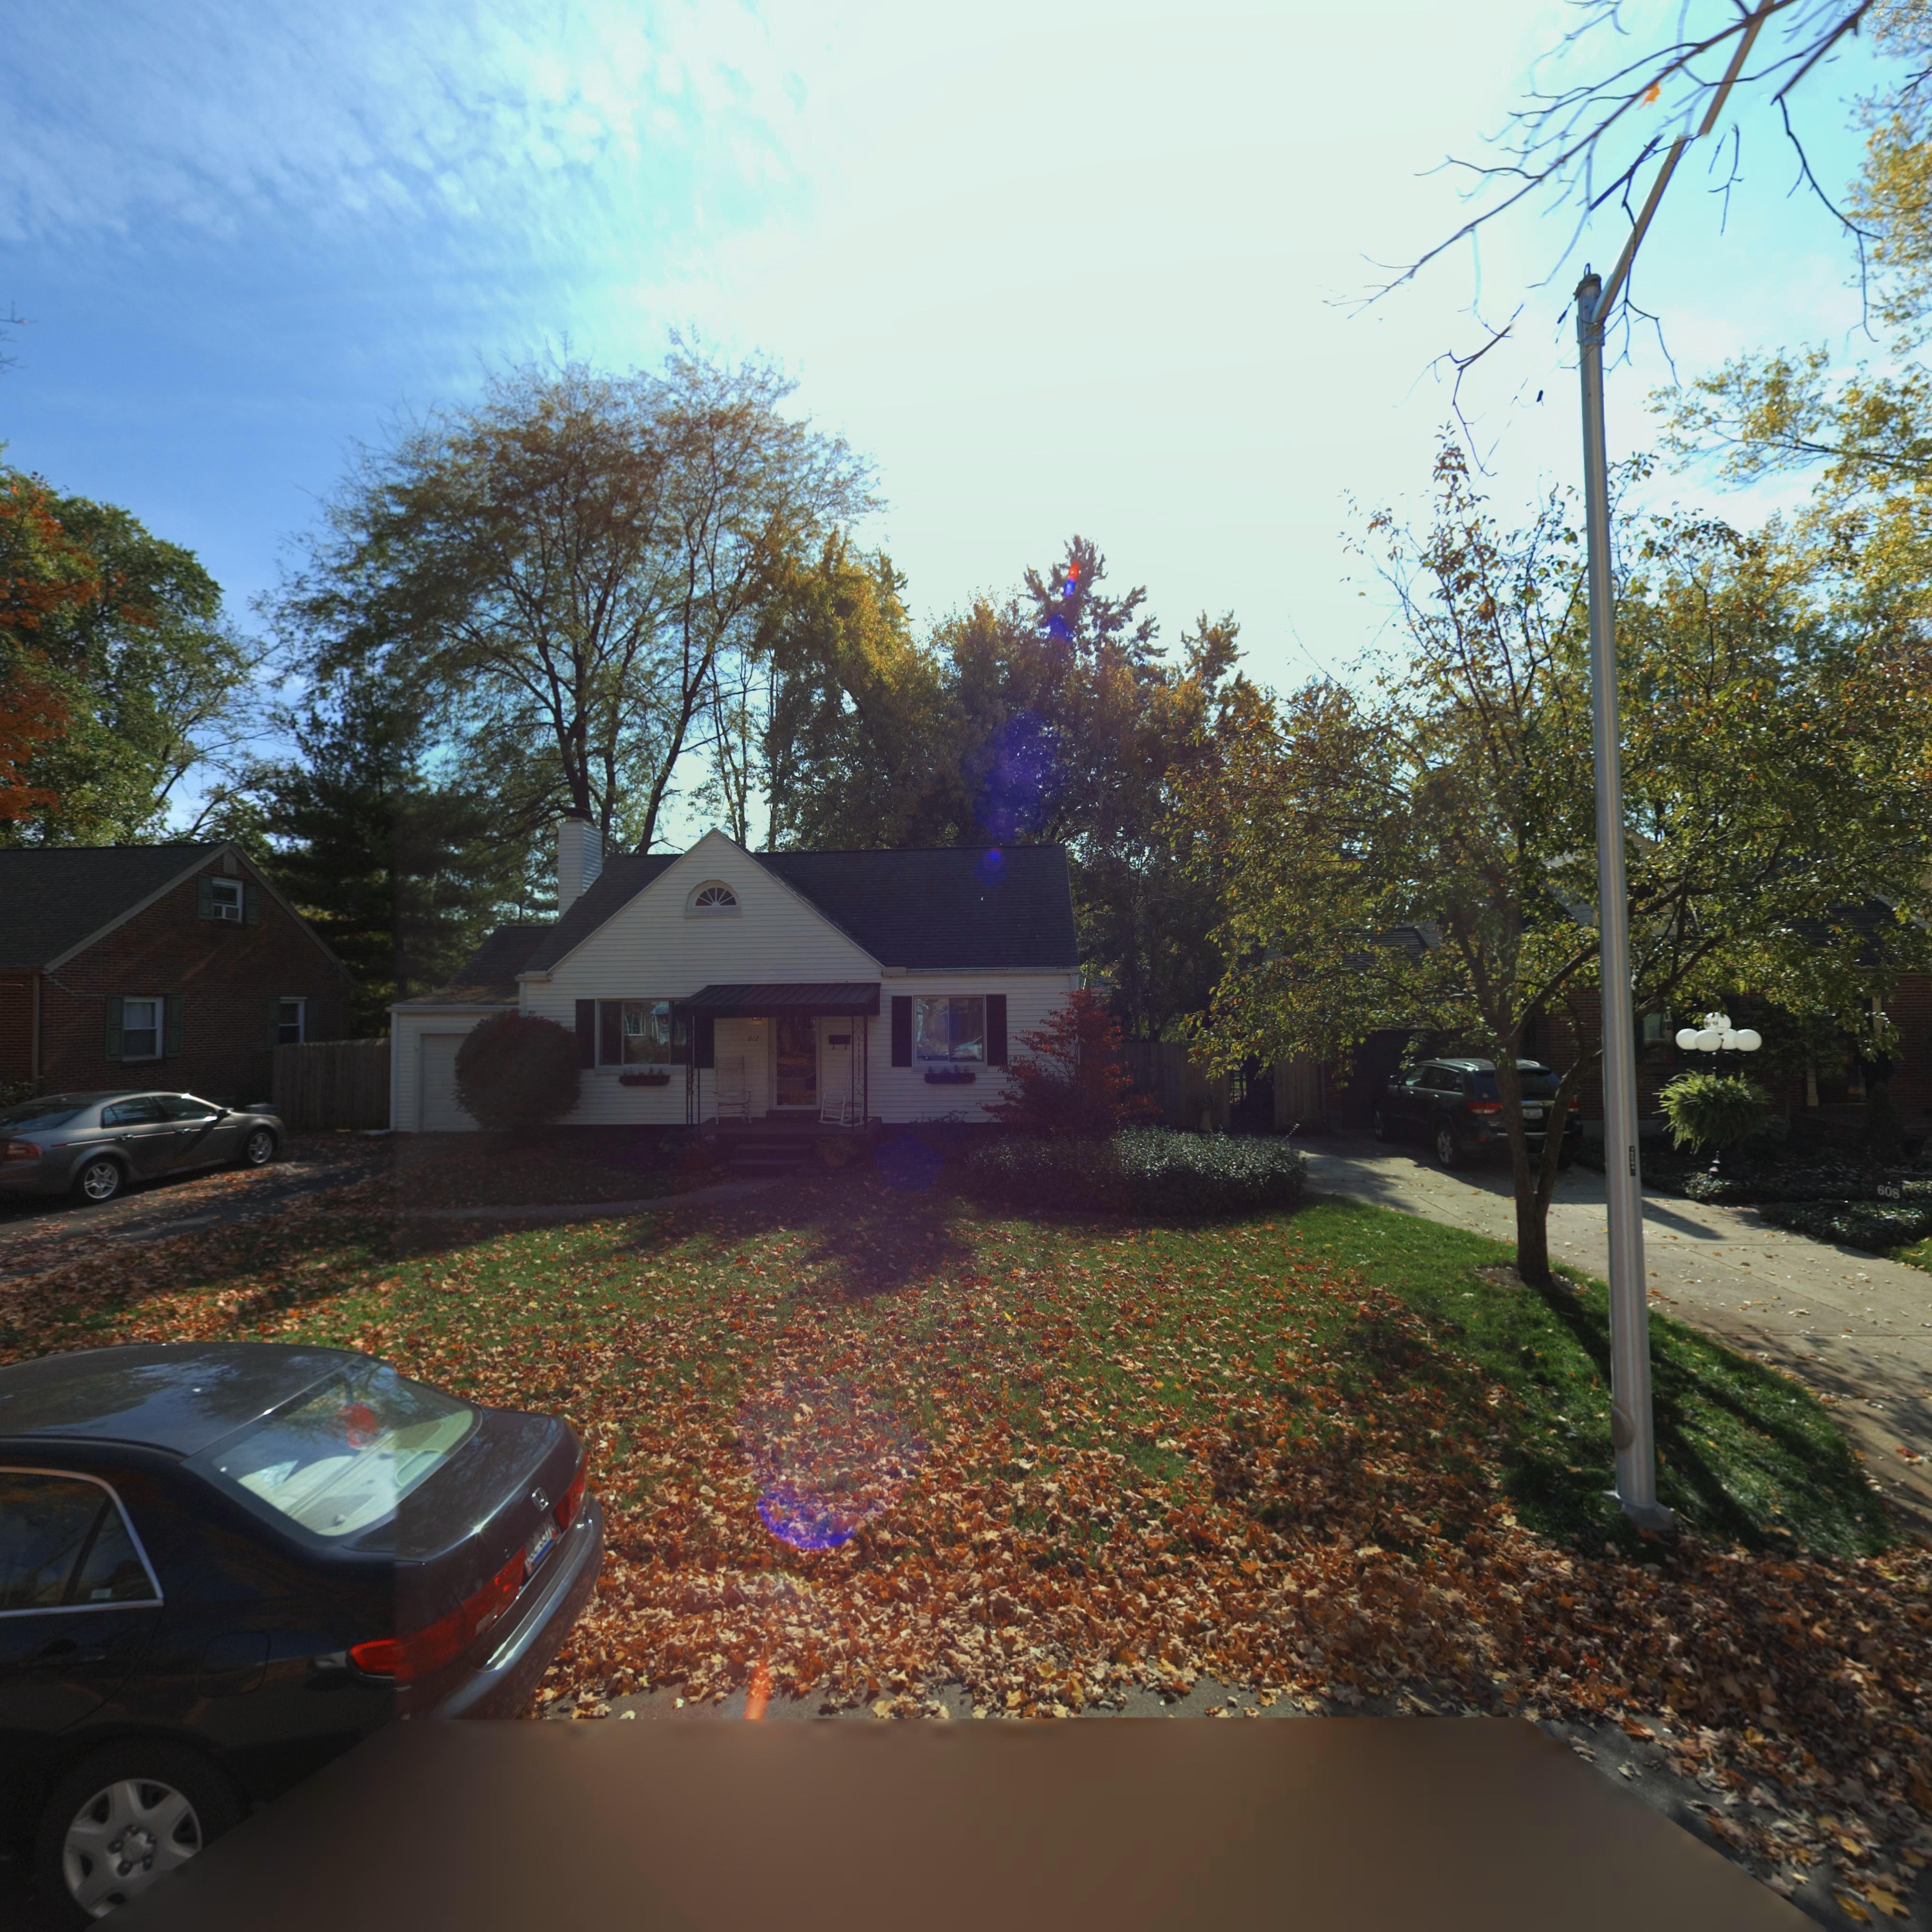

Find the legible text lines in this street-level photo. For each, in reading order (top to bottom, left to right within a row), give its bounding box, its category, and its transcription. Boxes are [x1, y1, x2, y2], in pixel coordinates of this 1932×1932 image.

[747, 1035, 760, 1042] StreetNumber: 612
[1629, 1147, 1635, 1170] None: 1***4
[1877, 1184, 1901, 1199] StreetNumber: 608
[525, 1515, 556, 1561] None: OC*3978